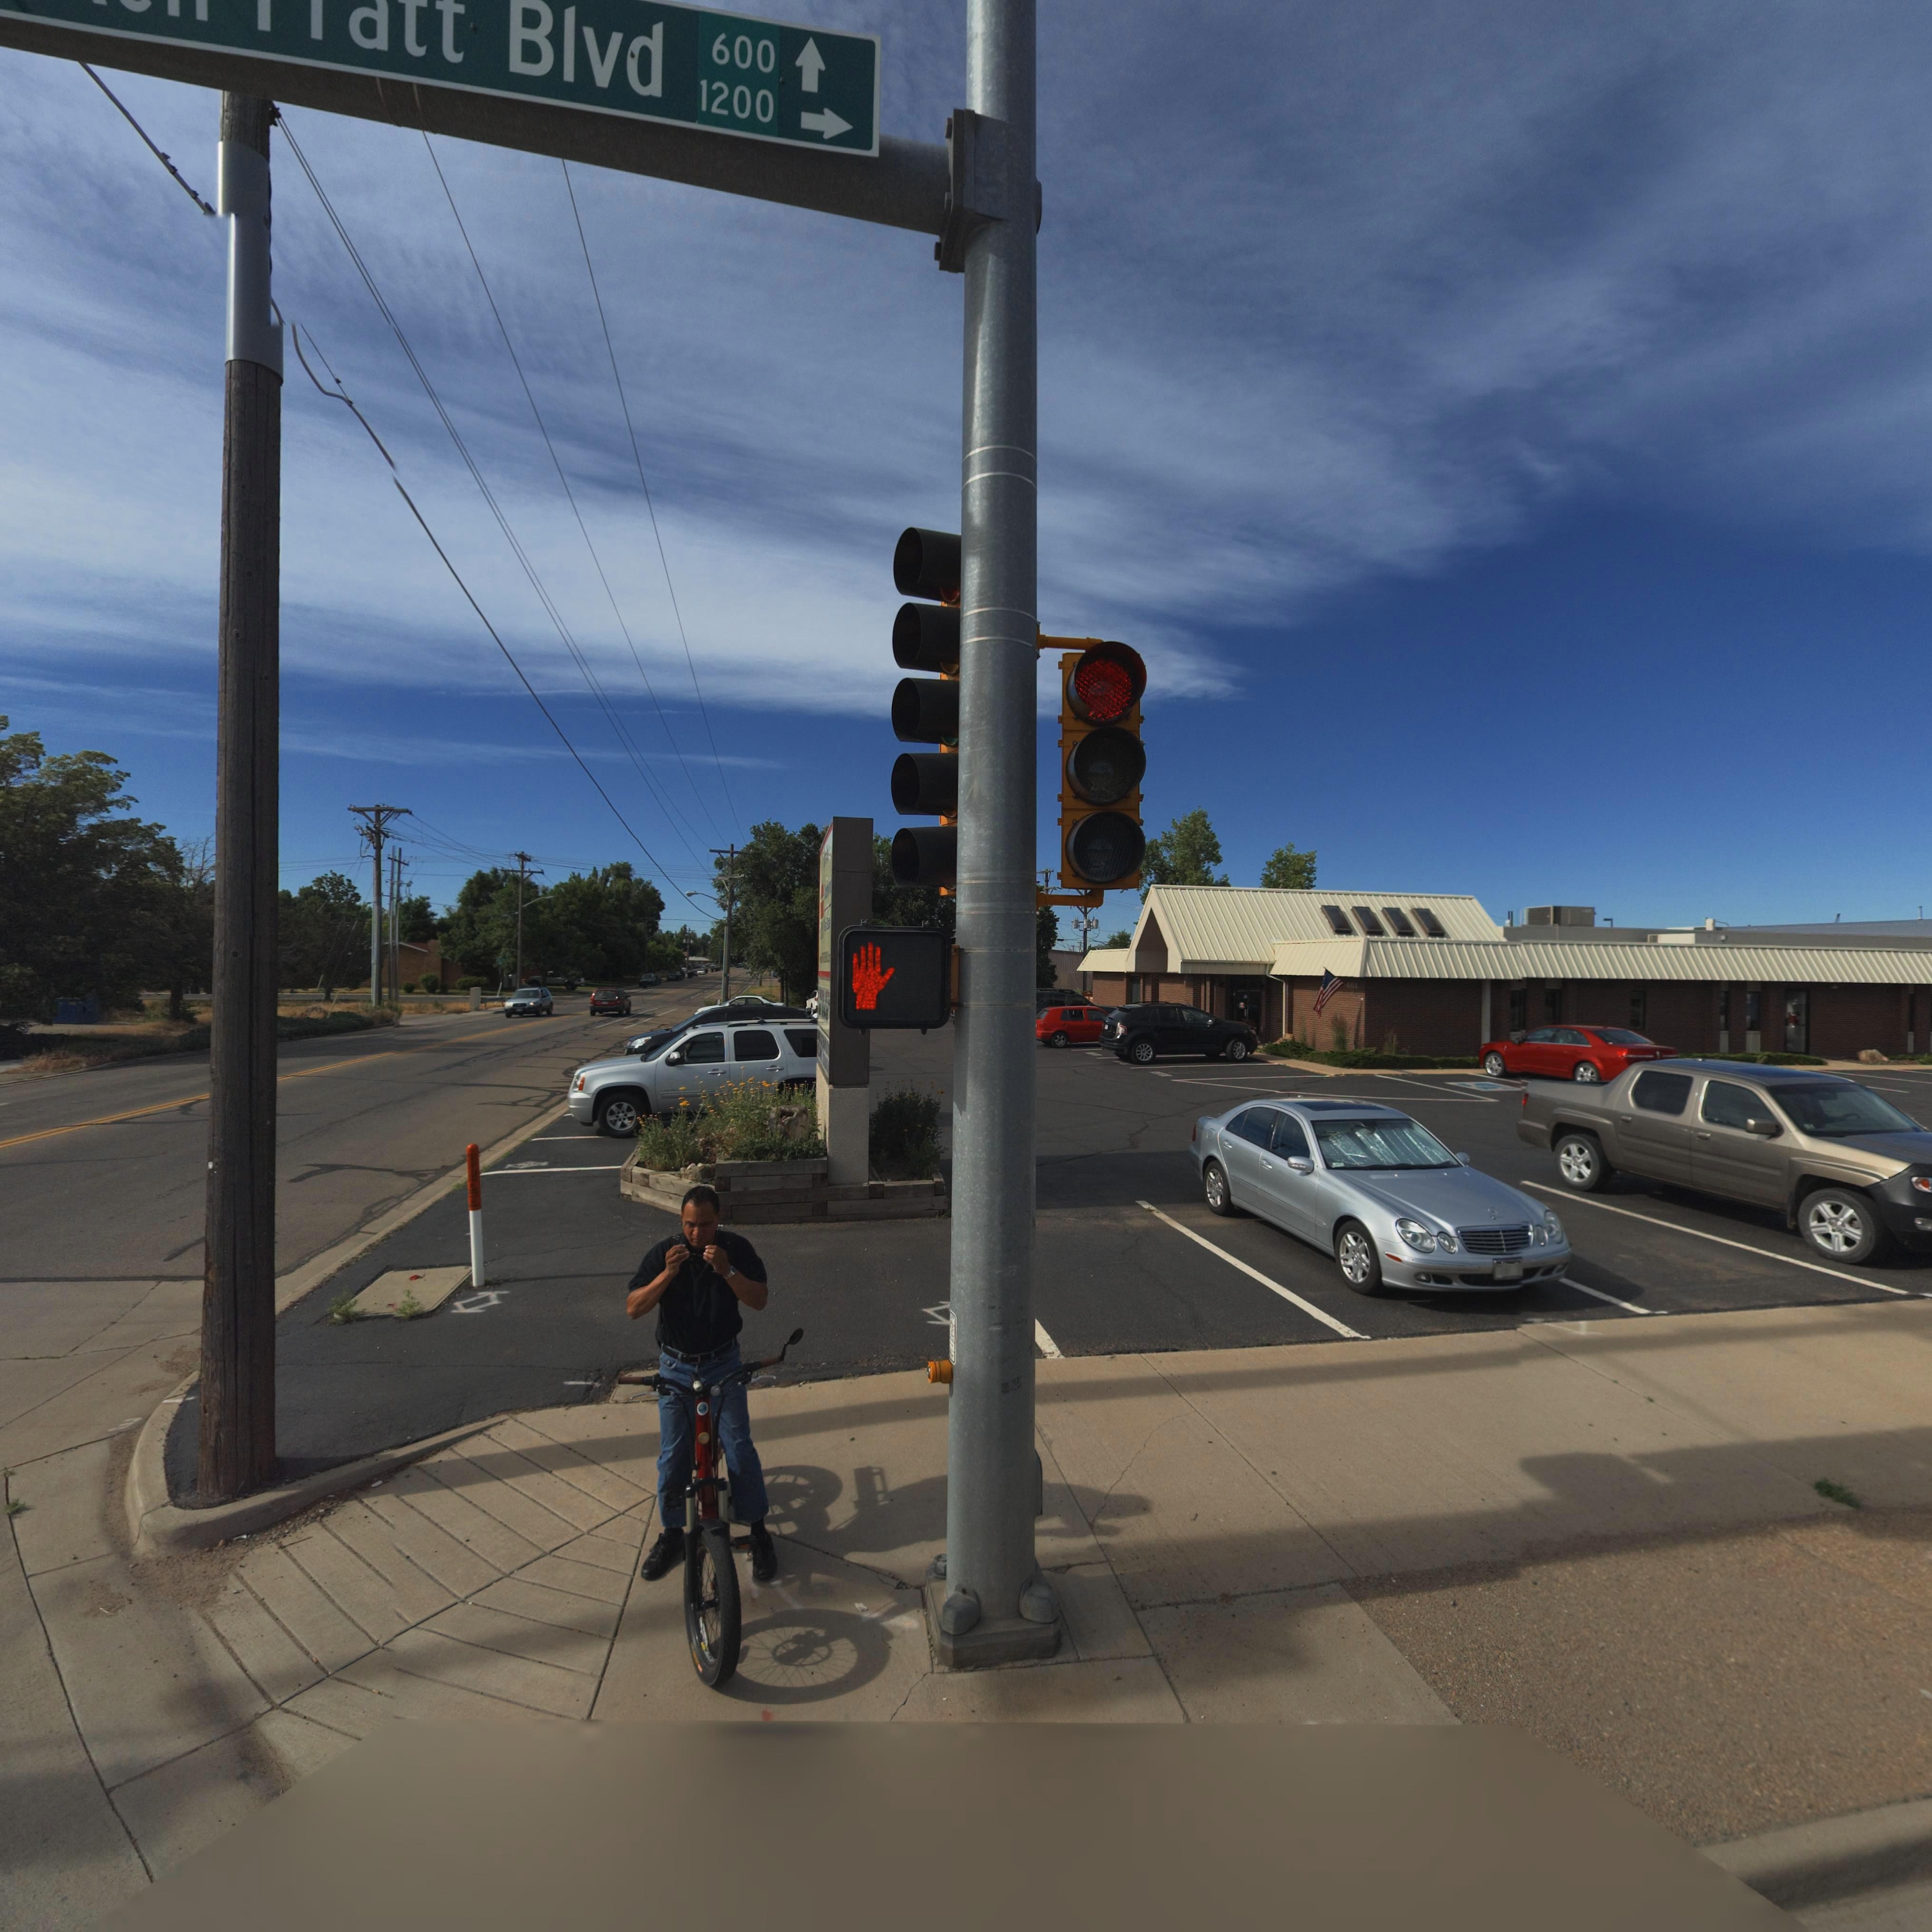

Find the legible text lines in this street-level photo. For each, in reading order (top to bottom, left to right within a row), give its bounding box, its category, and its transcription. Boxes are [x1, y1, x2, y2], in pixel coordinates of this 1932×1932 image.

[504, 0, 666, 101] StreetName: Blvd
[709, 30, 779, 77] StreetNumberRange: 600
[696, 76, 860, 142] StreetNumberRange: 1200->
[1345, 981, 1358, 988] StreetNumber: 601